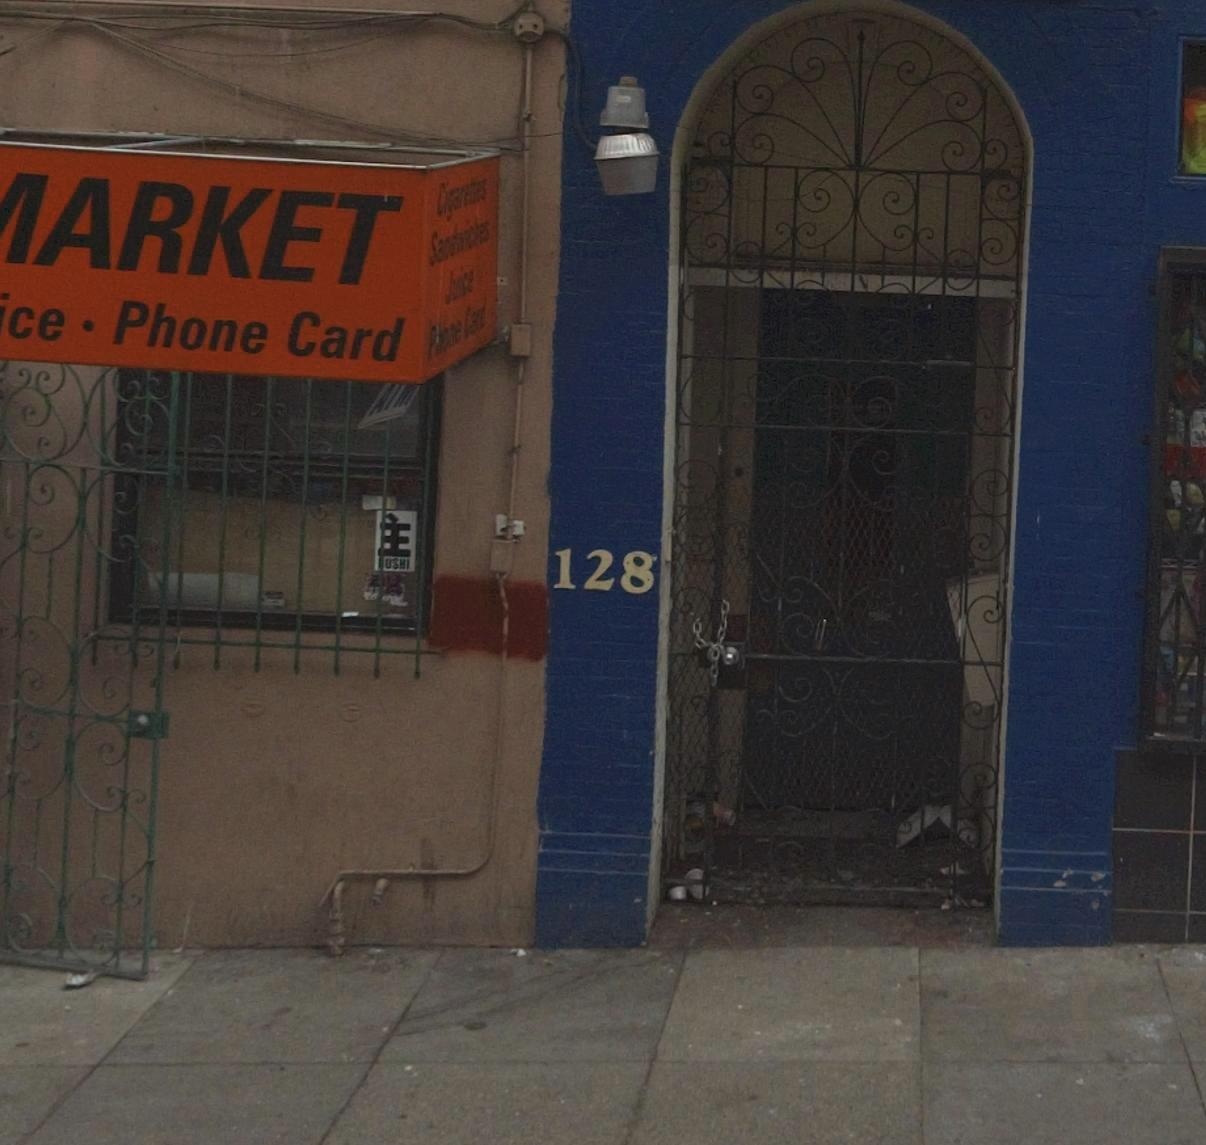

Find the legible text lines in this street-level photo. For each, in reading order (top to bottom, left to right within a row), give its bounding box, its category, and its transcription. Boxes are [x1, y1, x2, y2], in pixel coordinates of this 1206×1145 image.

[435, 179, 448, 220] None: C
[27, 170, 409, 291] None: ARKET
[426, 227, 442, 271] None: S
[442, 266, 455, 306] None: Juice
[5, 296, 410, 367] None: ce * Phone Card
[426, 320, 440, 361] None: P
[462, 303, 476, 340] None: C
[382, 555, 413, 573] None: USHI
[549, 546, 656, 598] StreetNumber: 128